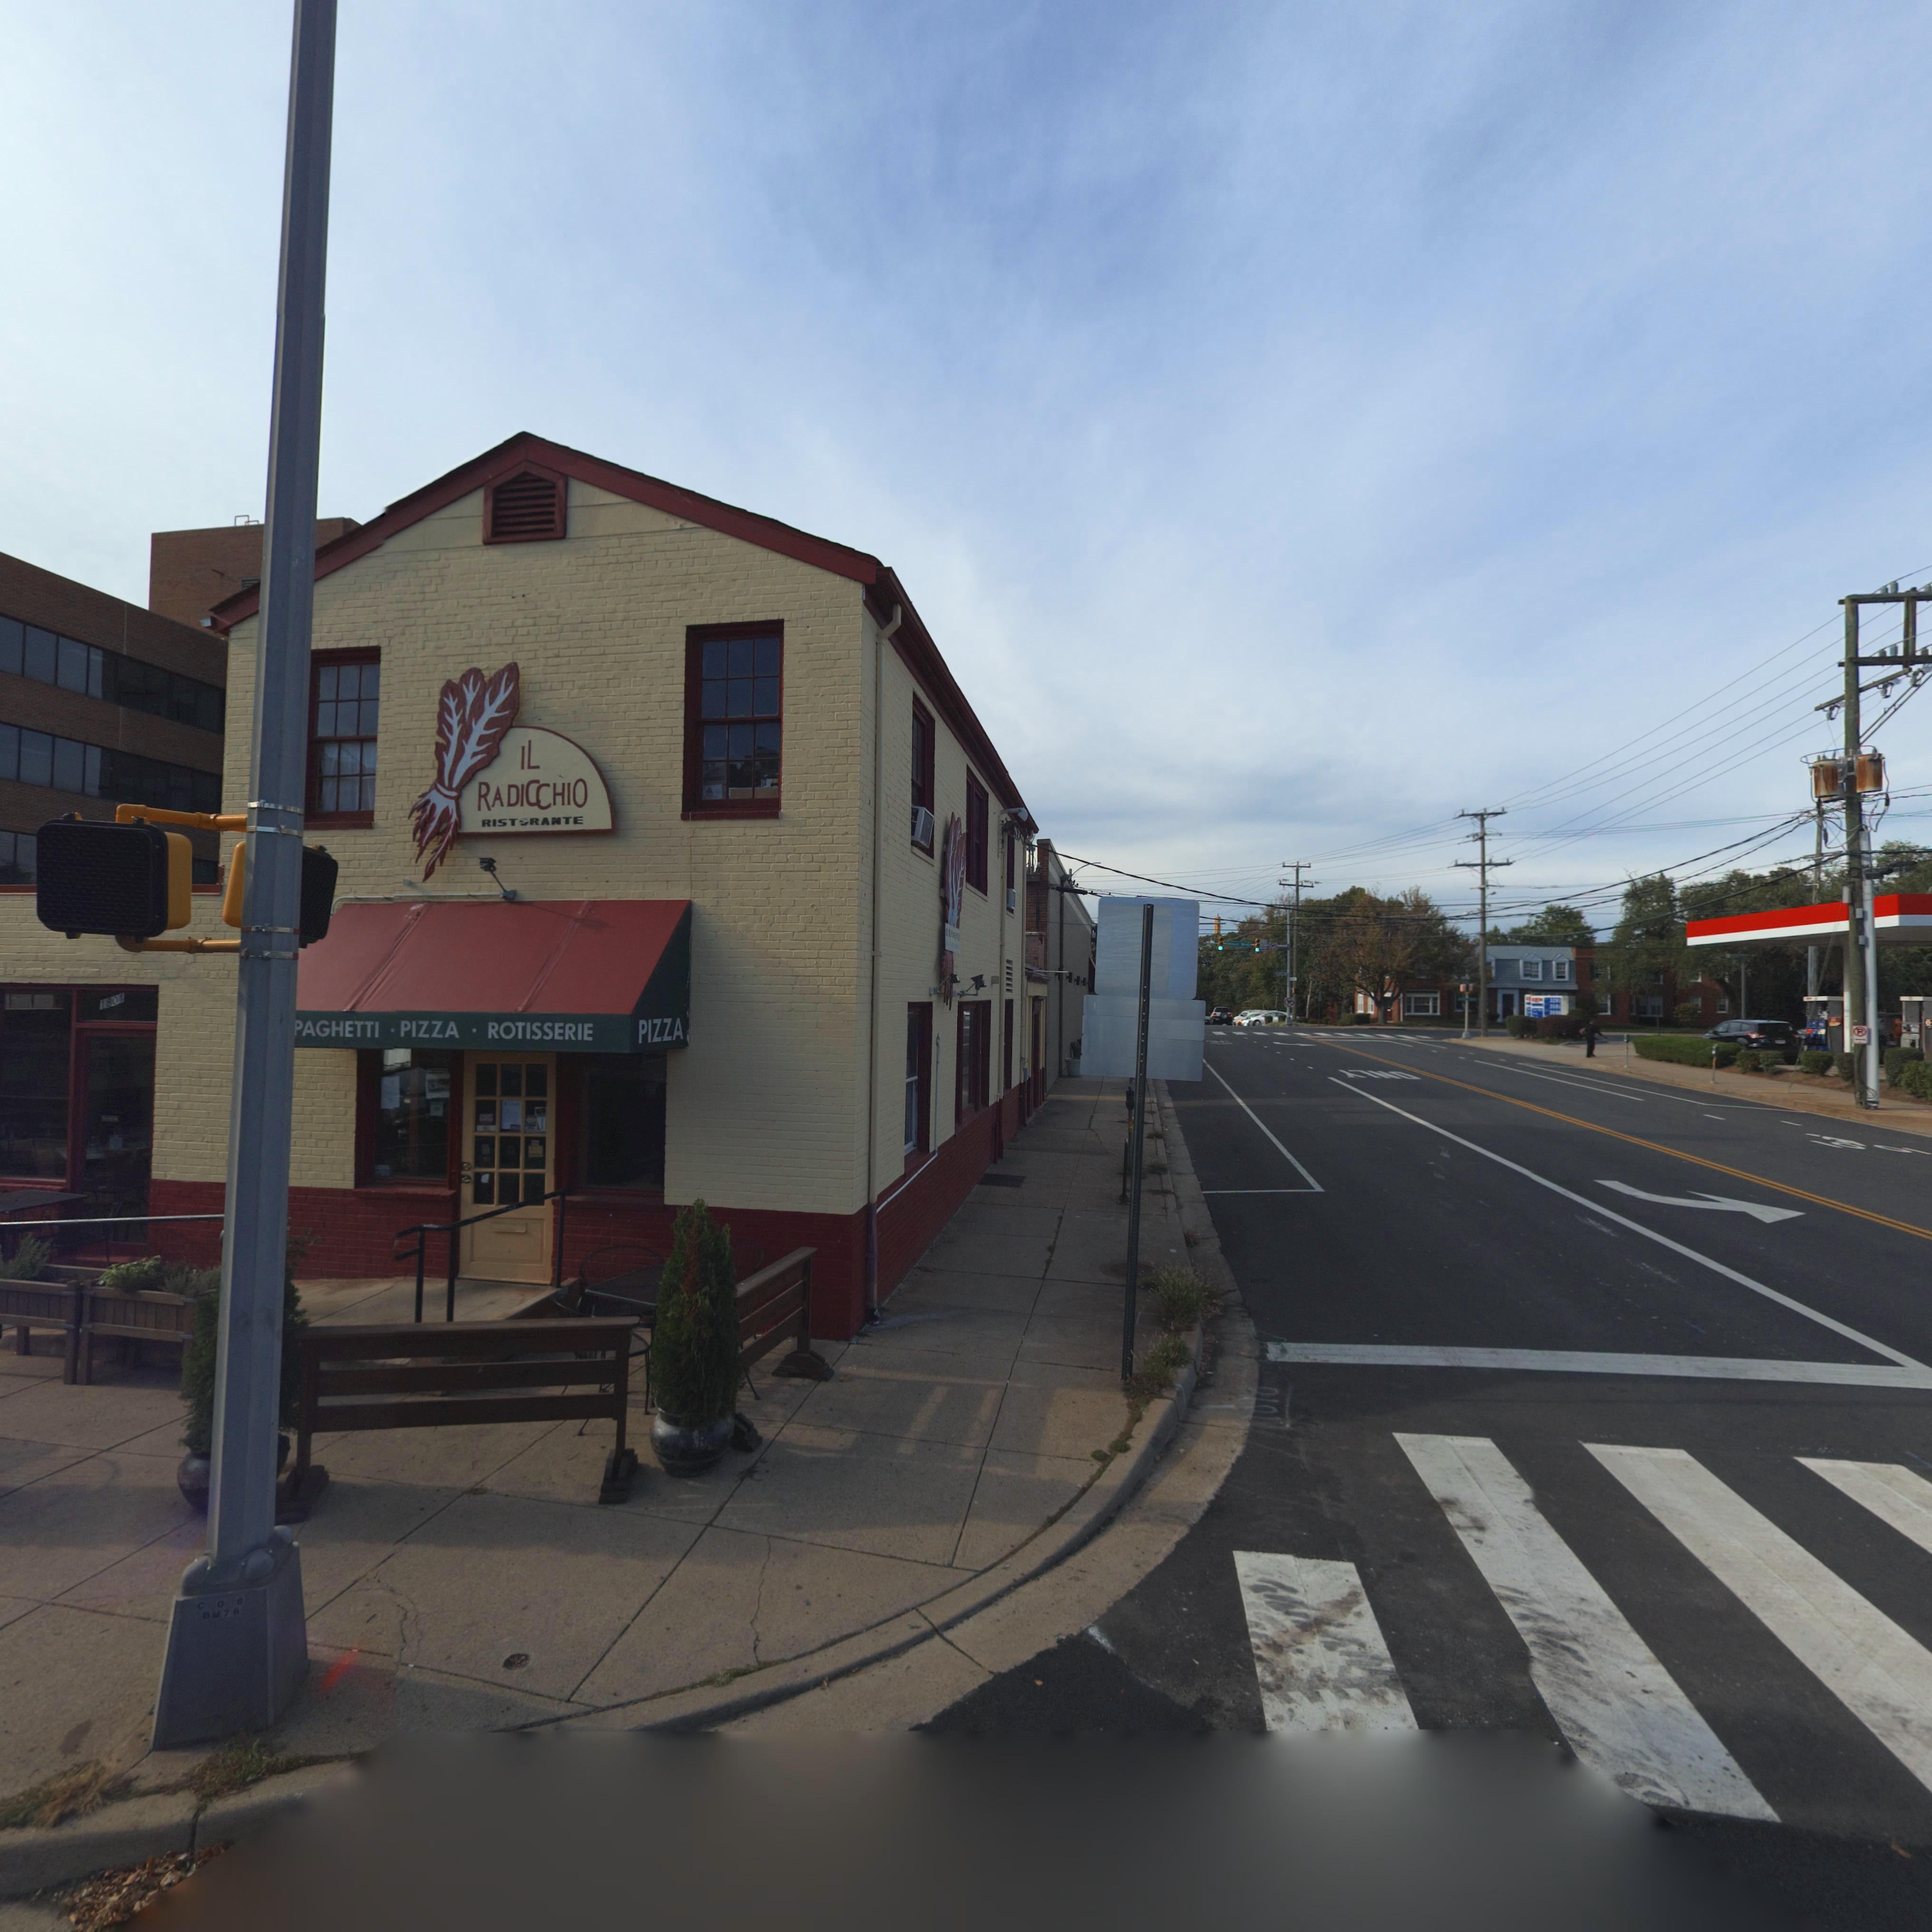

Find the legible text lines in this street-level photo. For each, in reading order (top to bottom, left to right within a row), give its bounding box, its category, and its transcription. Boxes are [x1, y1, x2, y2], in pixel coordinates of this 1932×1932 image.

[519, 737, 542, 772] BusinessName: IL
[476, 776, 591, 813] BusinessName: RADI**HIO
[480, 814, 585, 829] None: RIST*RANTE
[99, 992, 125, 1011] StreetNumber: 1801
[293, 1017, 595, 1043] None: PAGHETTI * PIZZA * ROTISSERIE
[637, 1015, 686, 1046] None: PIZZA